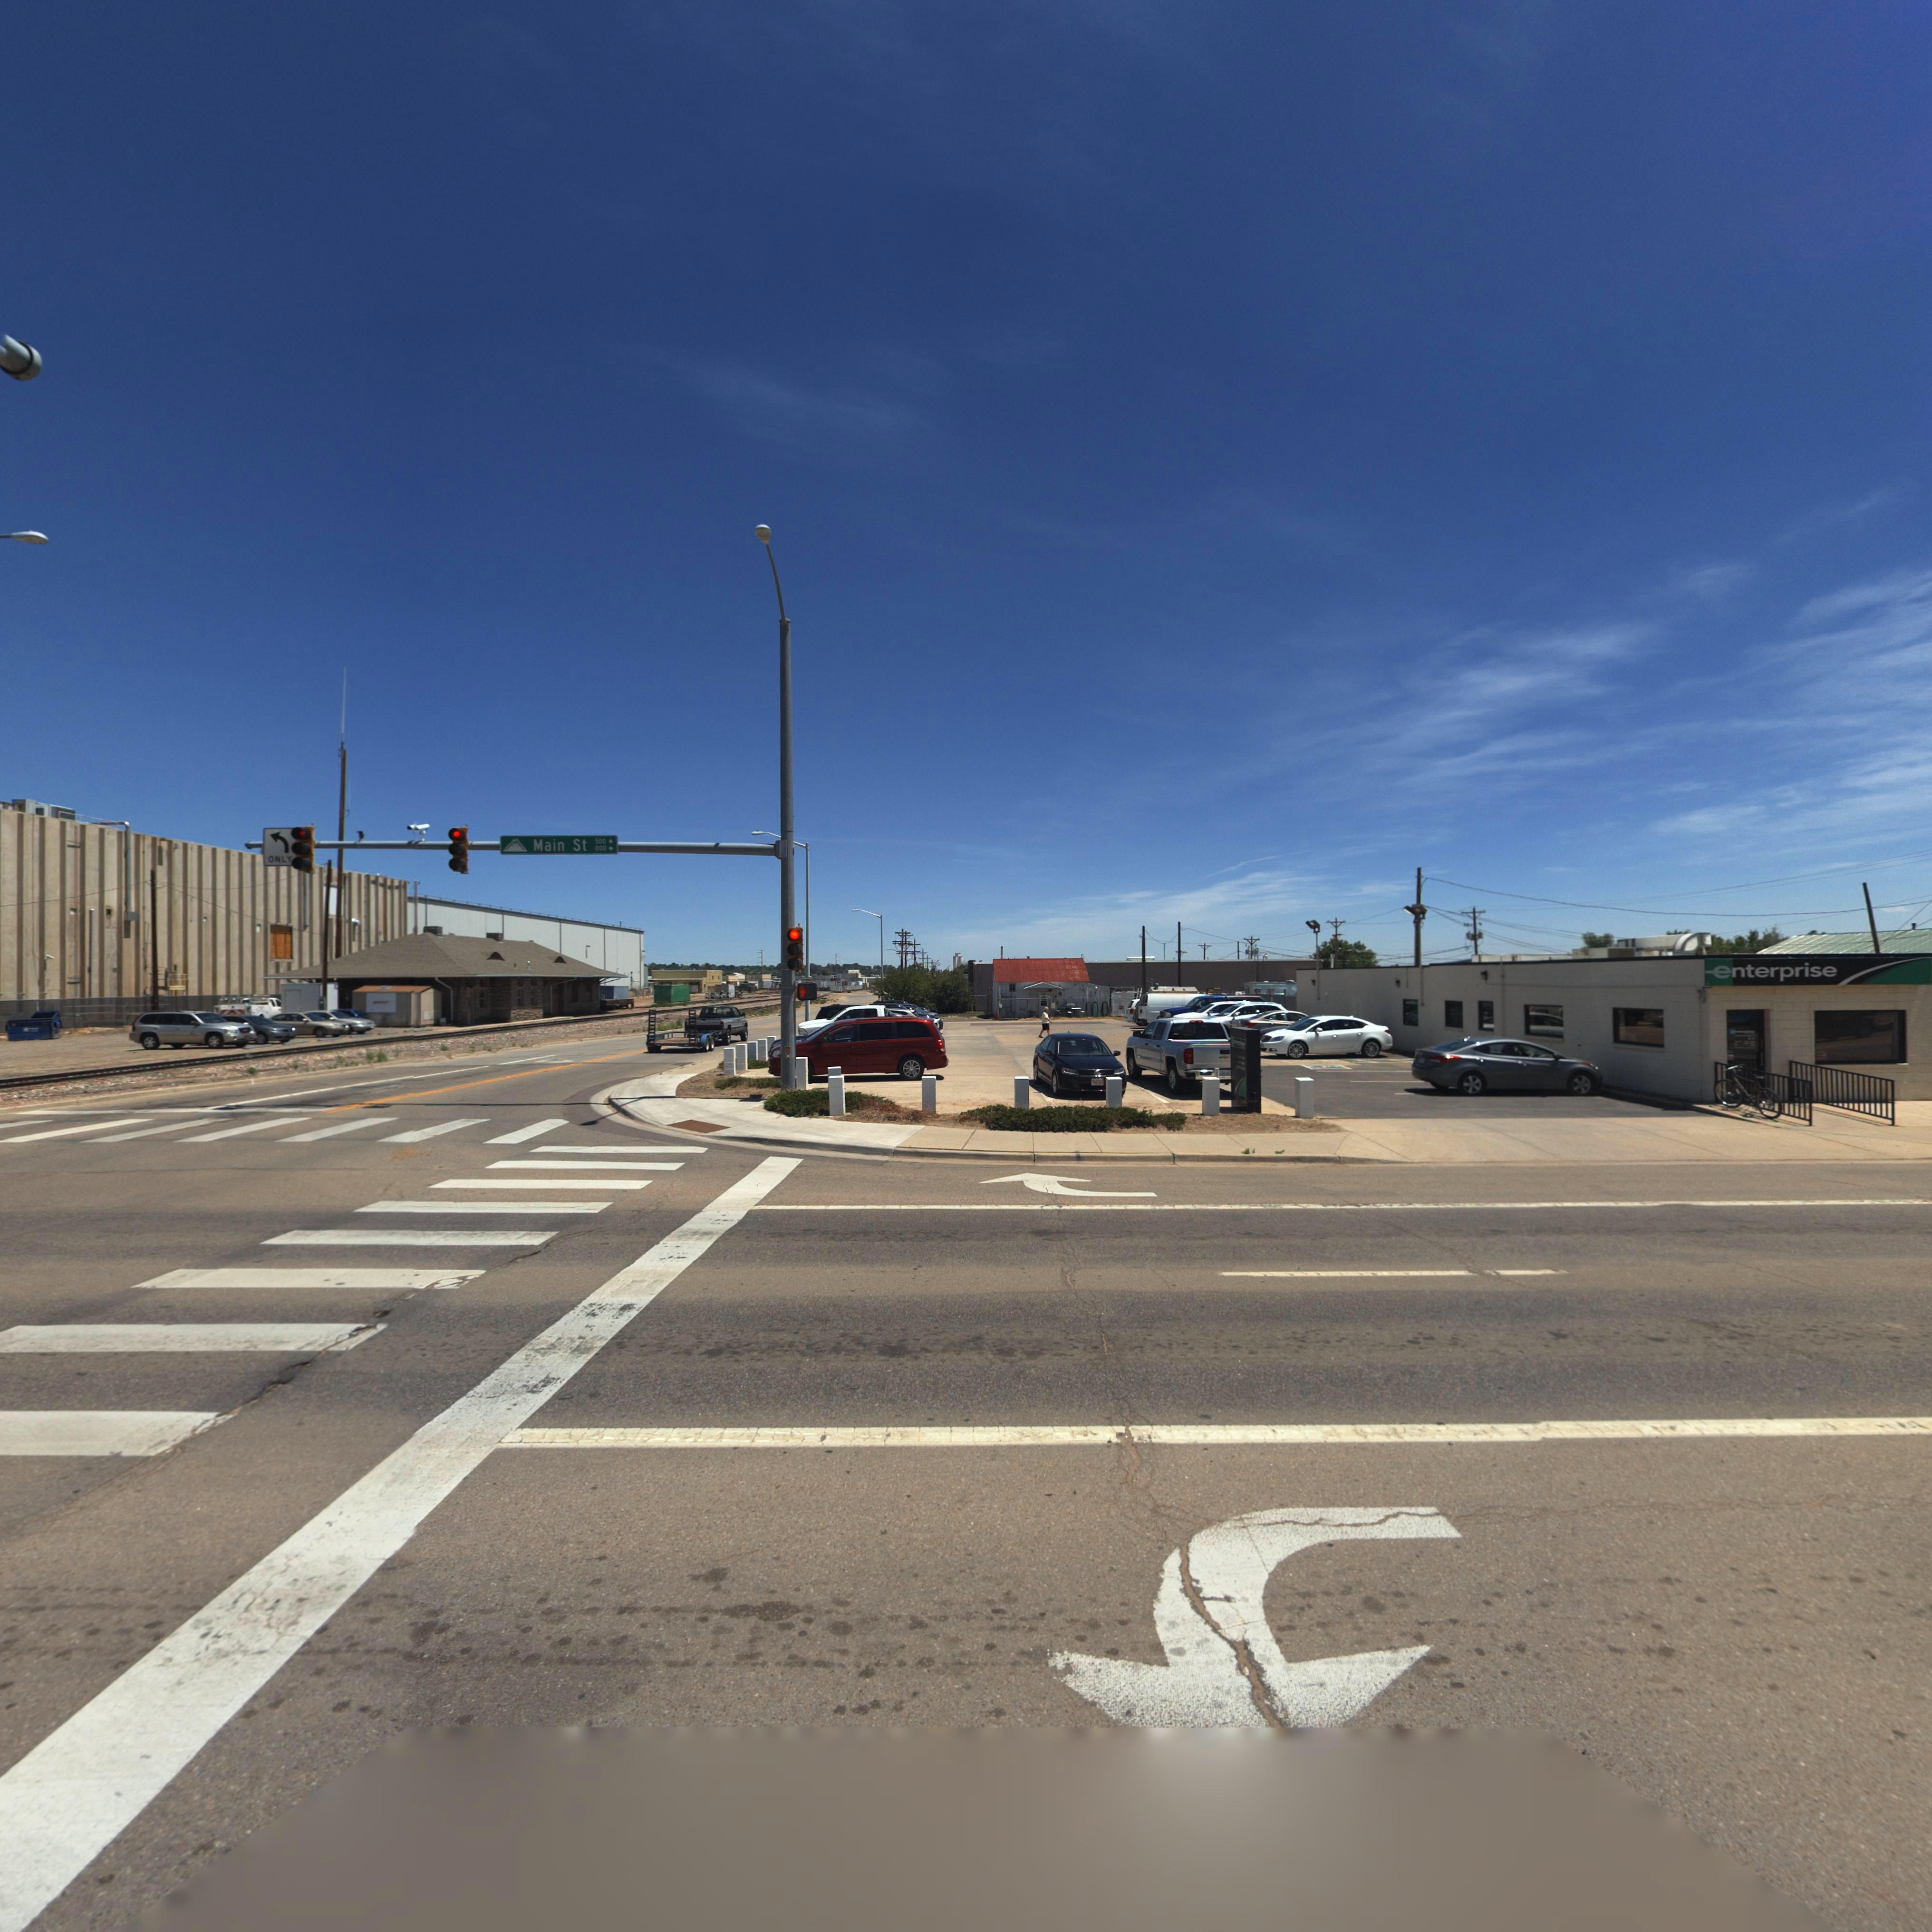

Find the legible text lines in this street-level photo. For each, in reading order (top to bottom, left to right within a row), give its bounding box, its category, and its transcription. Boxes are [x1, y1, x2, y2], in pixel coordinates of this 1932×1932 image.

[532, 838, 588, 851] StreetName: Main st
[594, 838, 606, 844] StreetNumberRange: 500
[594, 845, 614, 851] StreetNumberRange: 000->
[1704, 960, 1839, 982] BusinessName: enterprise